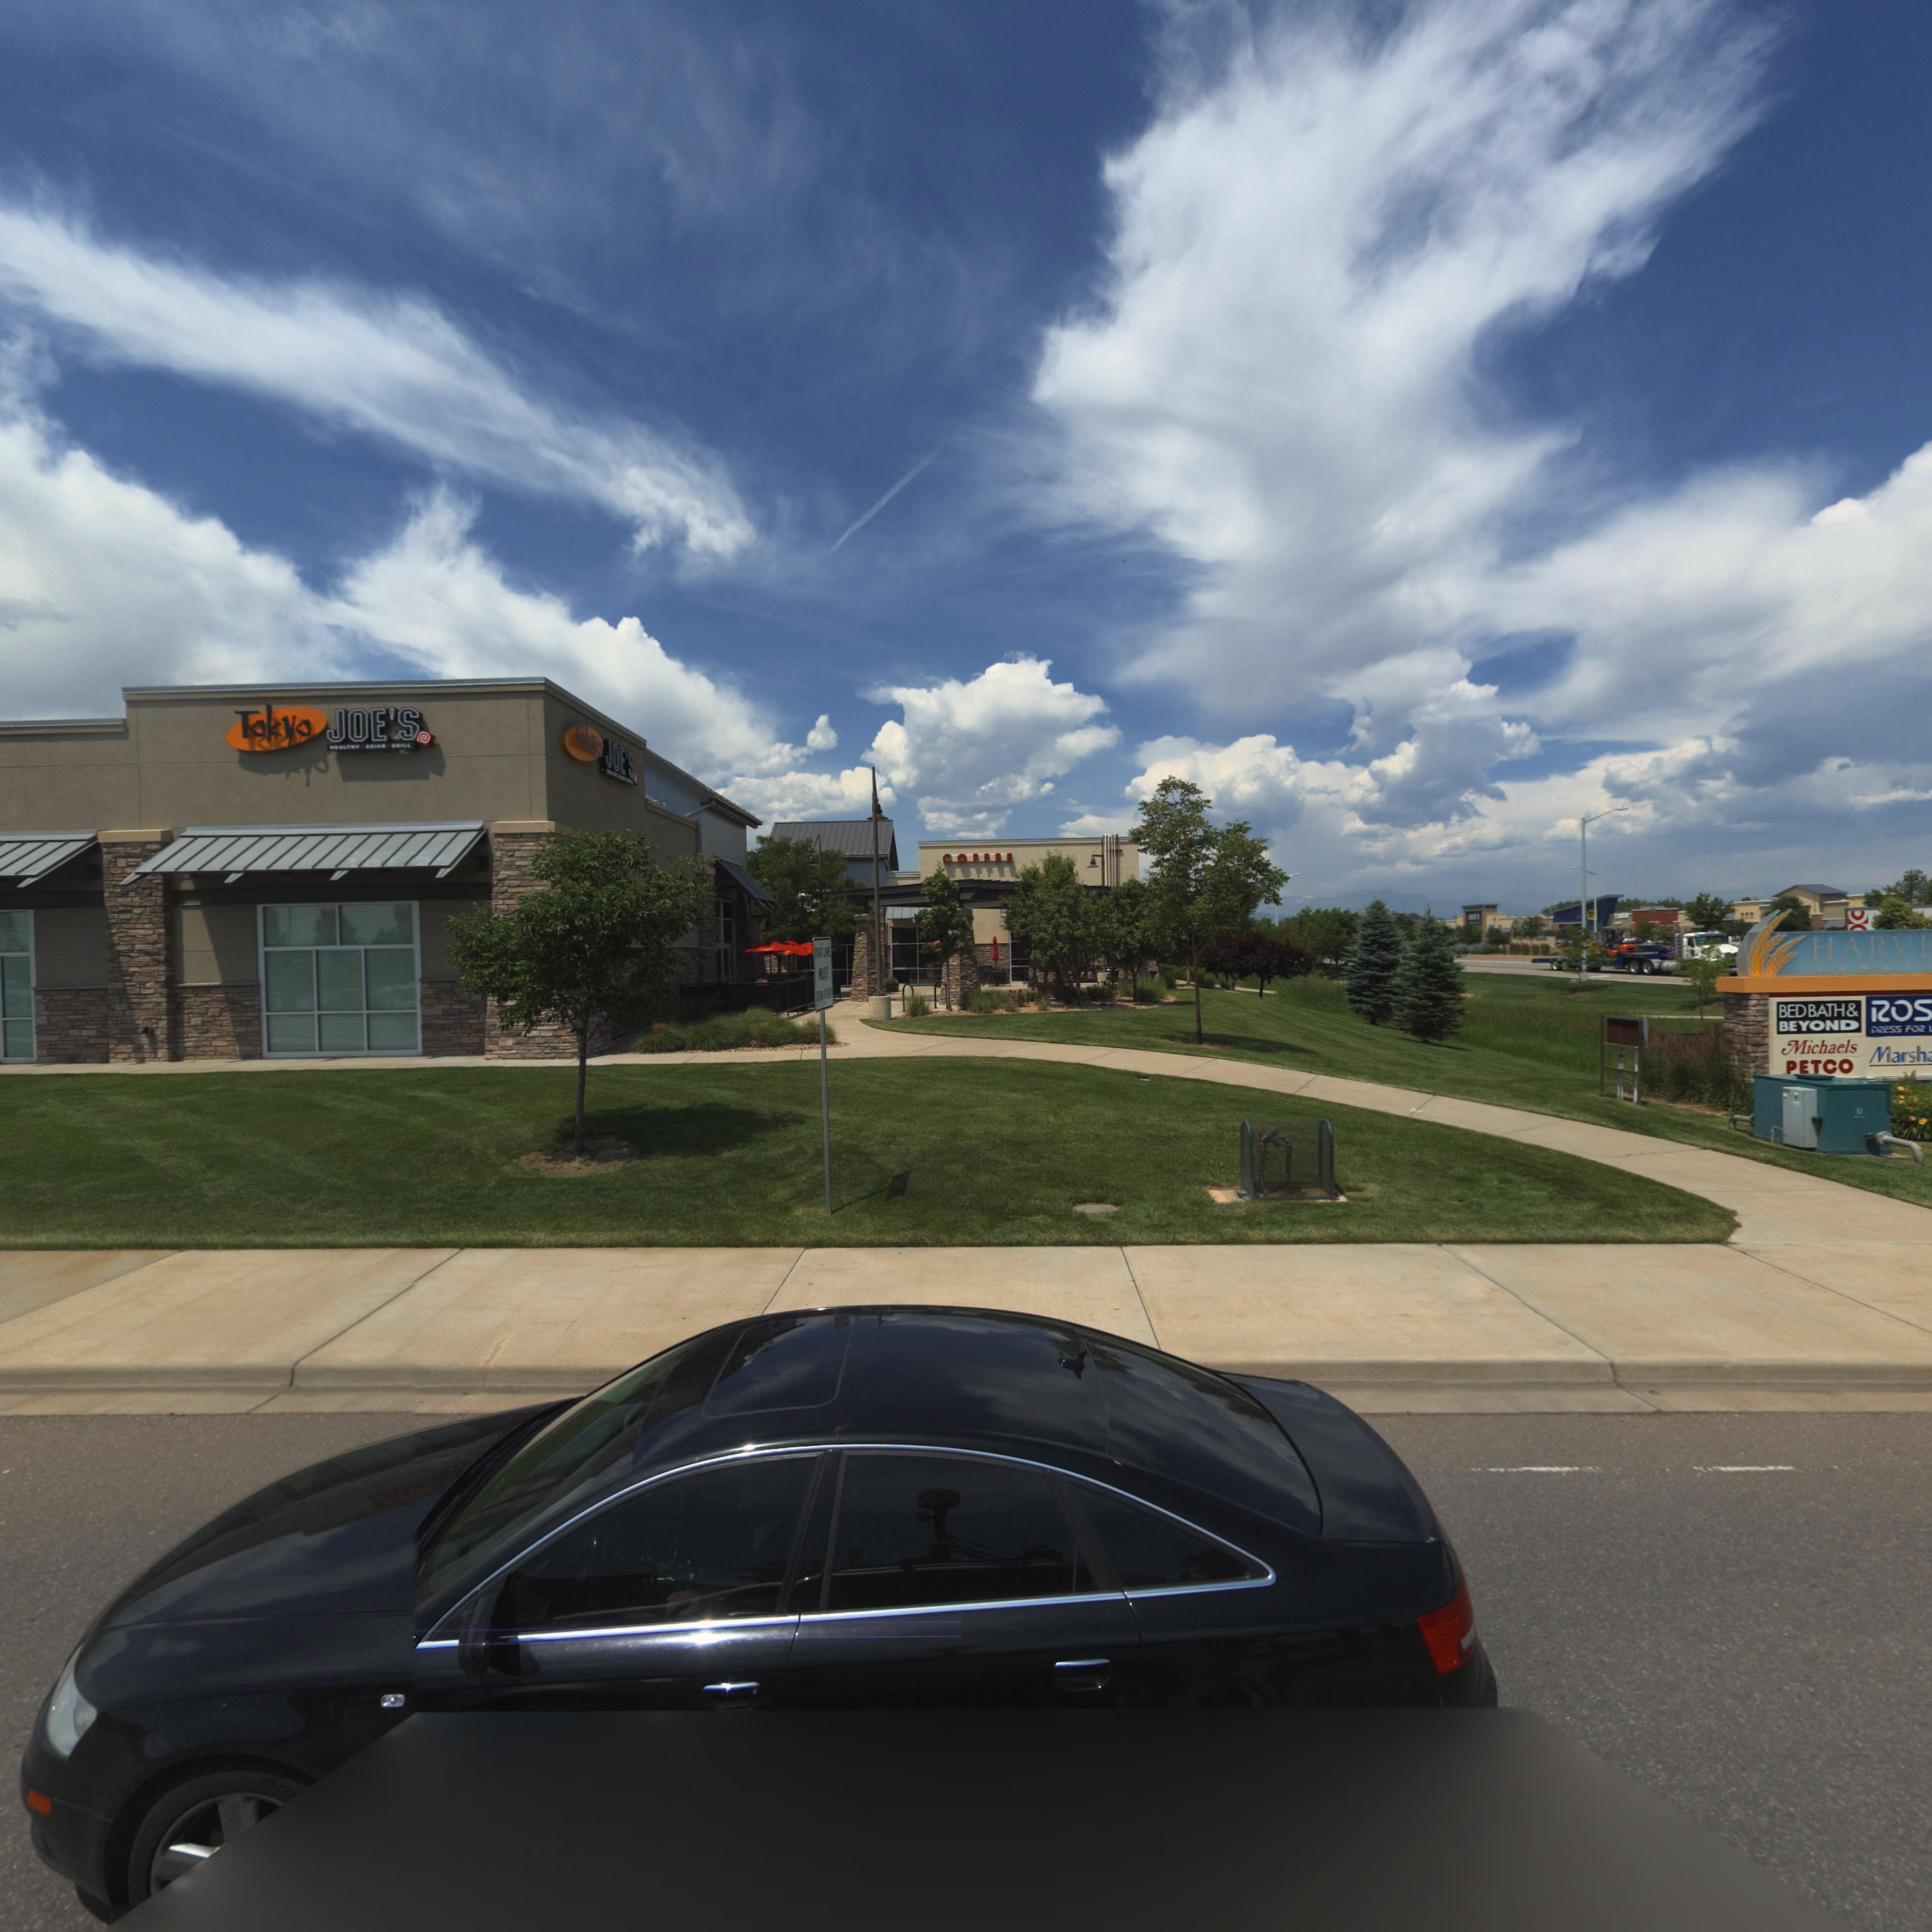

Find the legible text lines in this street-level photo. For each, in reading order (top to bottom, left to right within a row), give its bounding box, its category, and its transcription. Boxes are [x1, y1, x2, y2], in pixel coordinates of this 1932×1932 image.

[233, 702, 312, 750] BusinessName: Tokyo
[326, 706, 420, 744] BusinessName: JOE'S
[573, 721, 604, 768] BusinessName: Tokyo
[605, 739, 635, 779] BusinessName: JOES'S
[1468, 913, 1479, 920] BusinessName: **CKS
[1587, 914, 1594, 918] BusinessName: *U
[1778, 1002, 1859, 1018] BusinessName: BED BATH *
[1870, 999, 1913, 1022] BusinessName: RO
[1778, 1019, 1860, 1032] BusinessName: BEYOND
[1780, 1038, 1858, 1055] BusinessName: Michaels
[1868, 1045, 1928, 1063] BusinessName: Marsh
[1785, 1058, 1854, 1074] BusinessName: PETCO